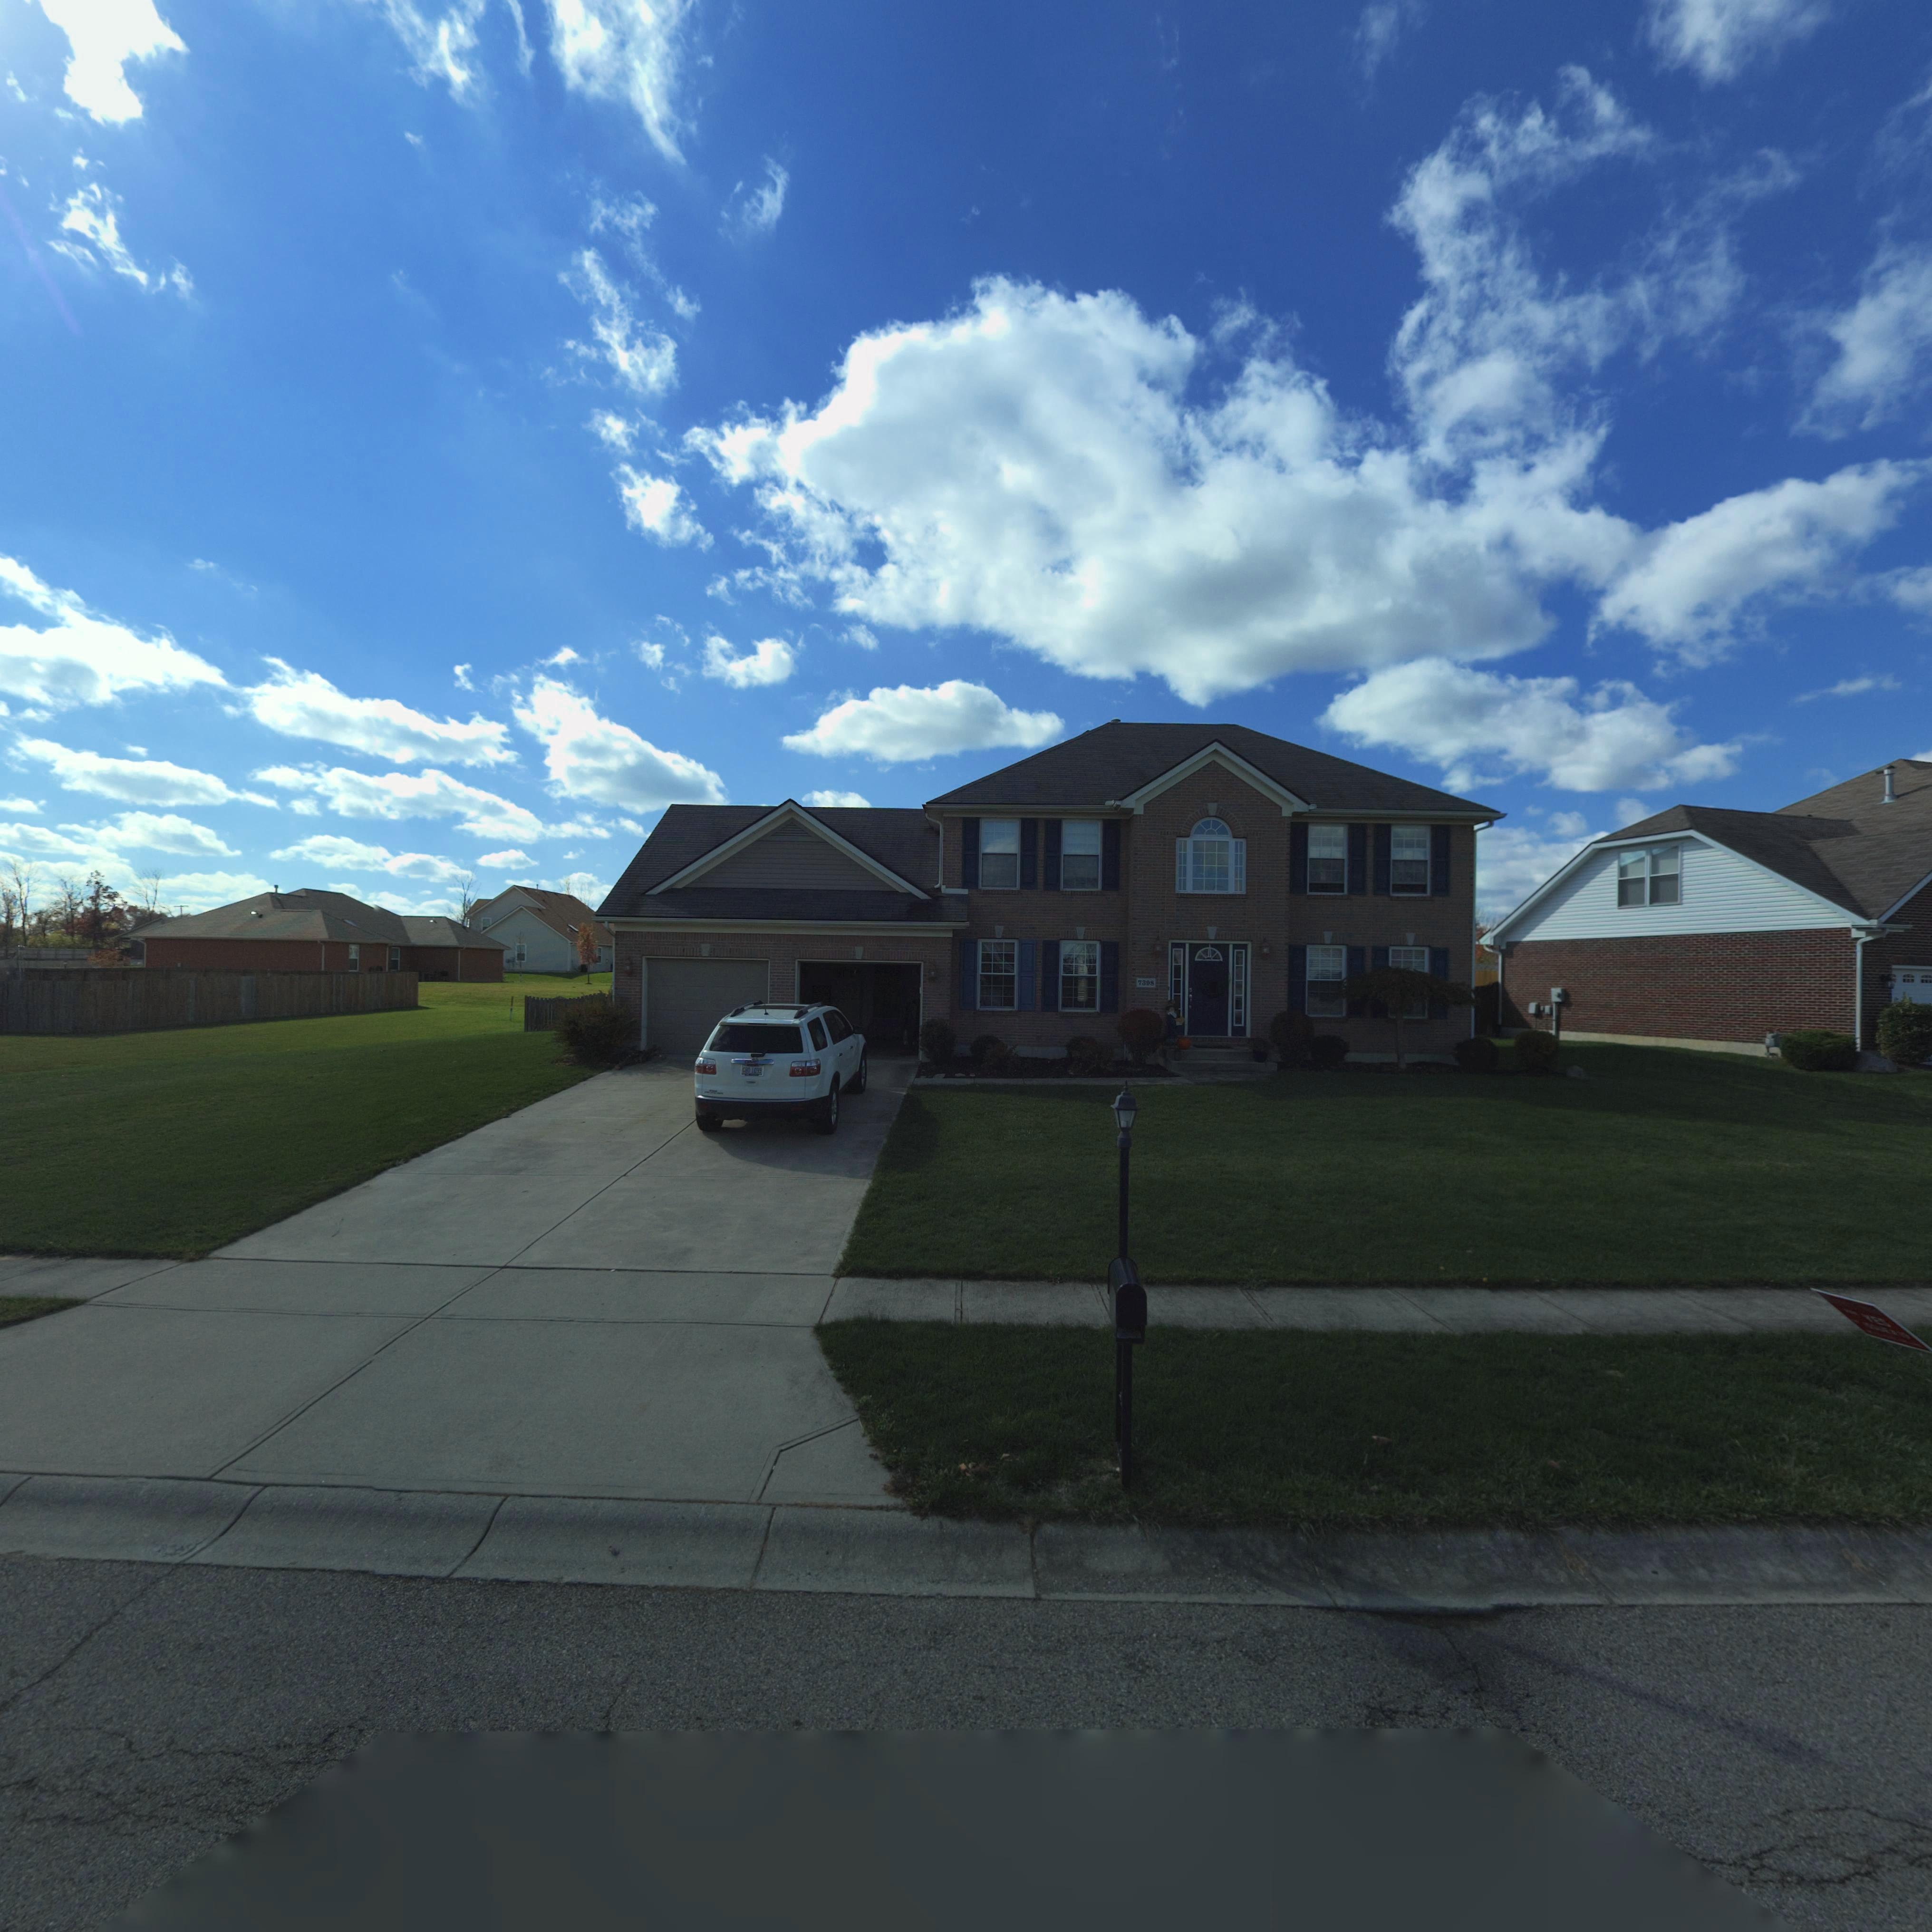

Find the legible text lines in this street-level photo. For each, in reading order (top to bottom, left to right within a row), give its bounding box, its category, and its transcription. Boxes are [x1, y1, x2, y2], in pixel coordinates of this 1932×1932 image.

[1137, 979, 1155, 986] StreetNumber: 7398